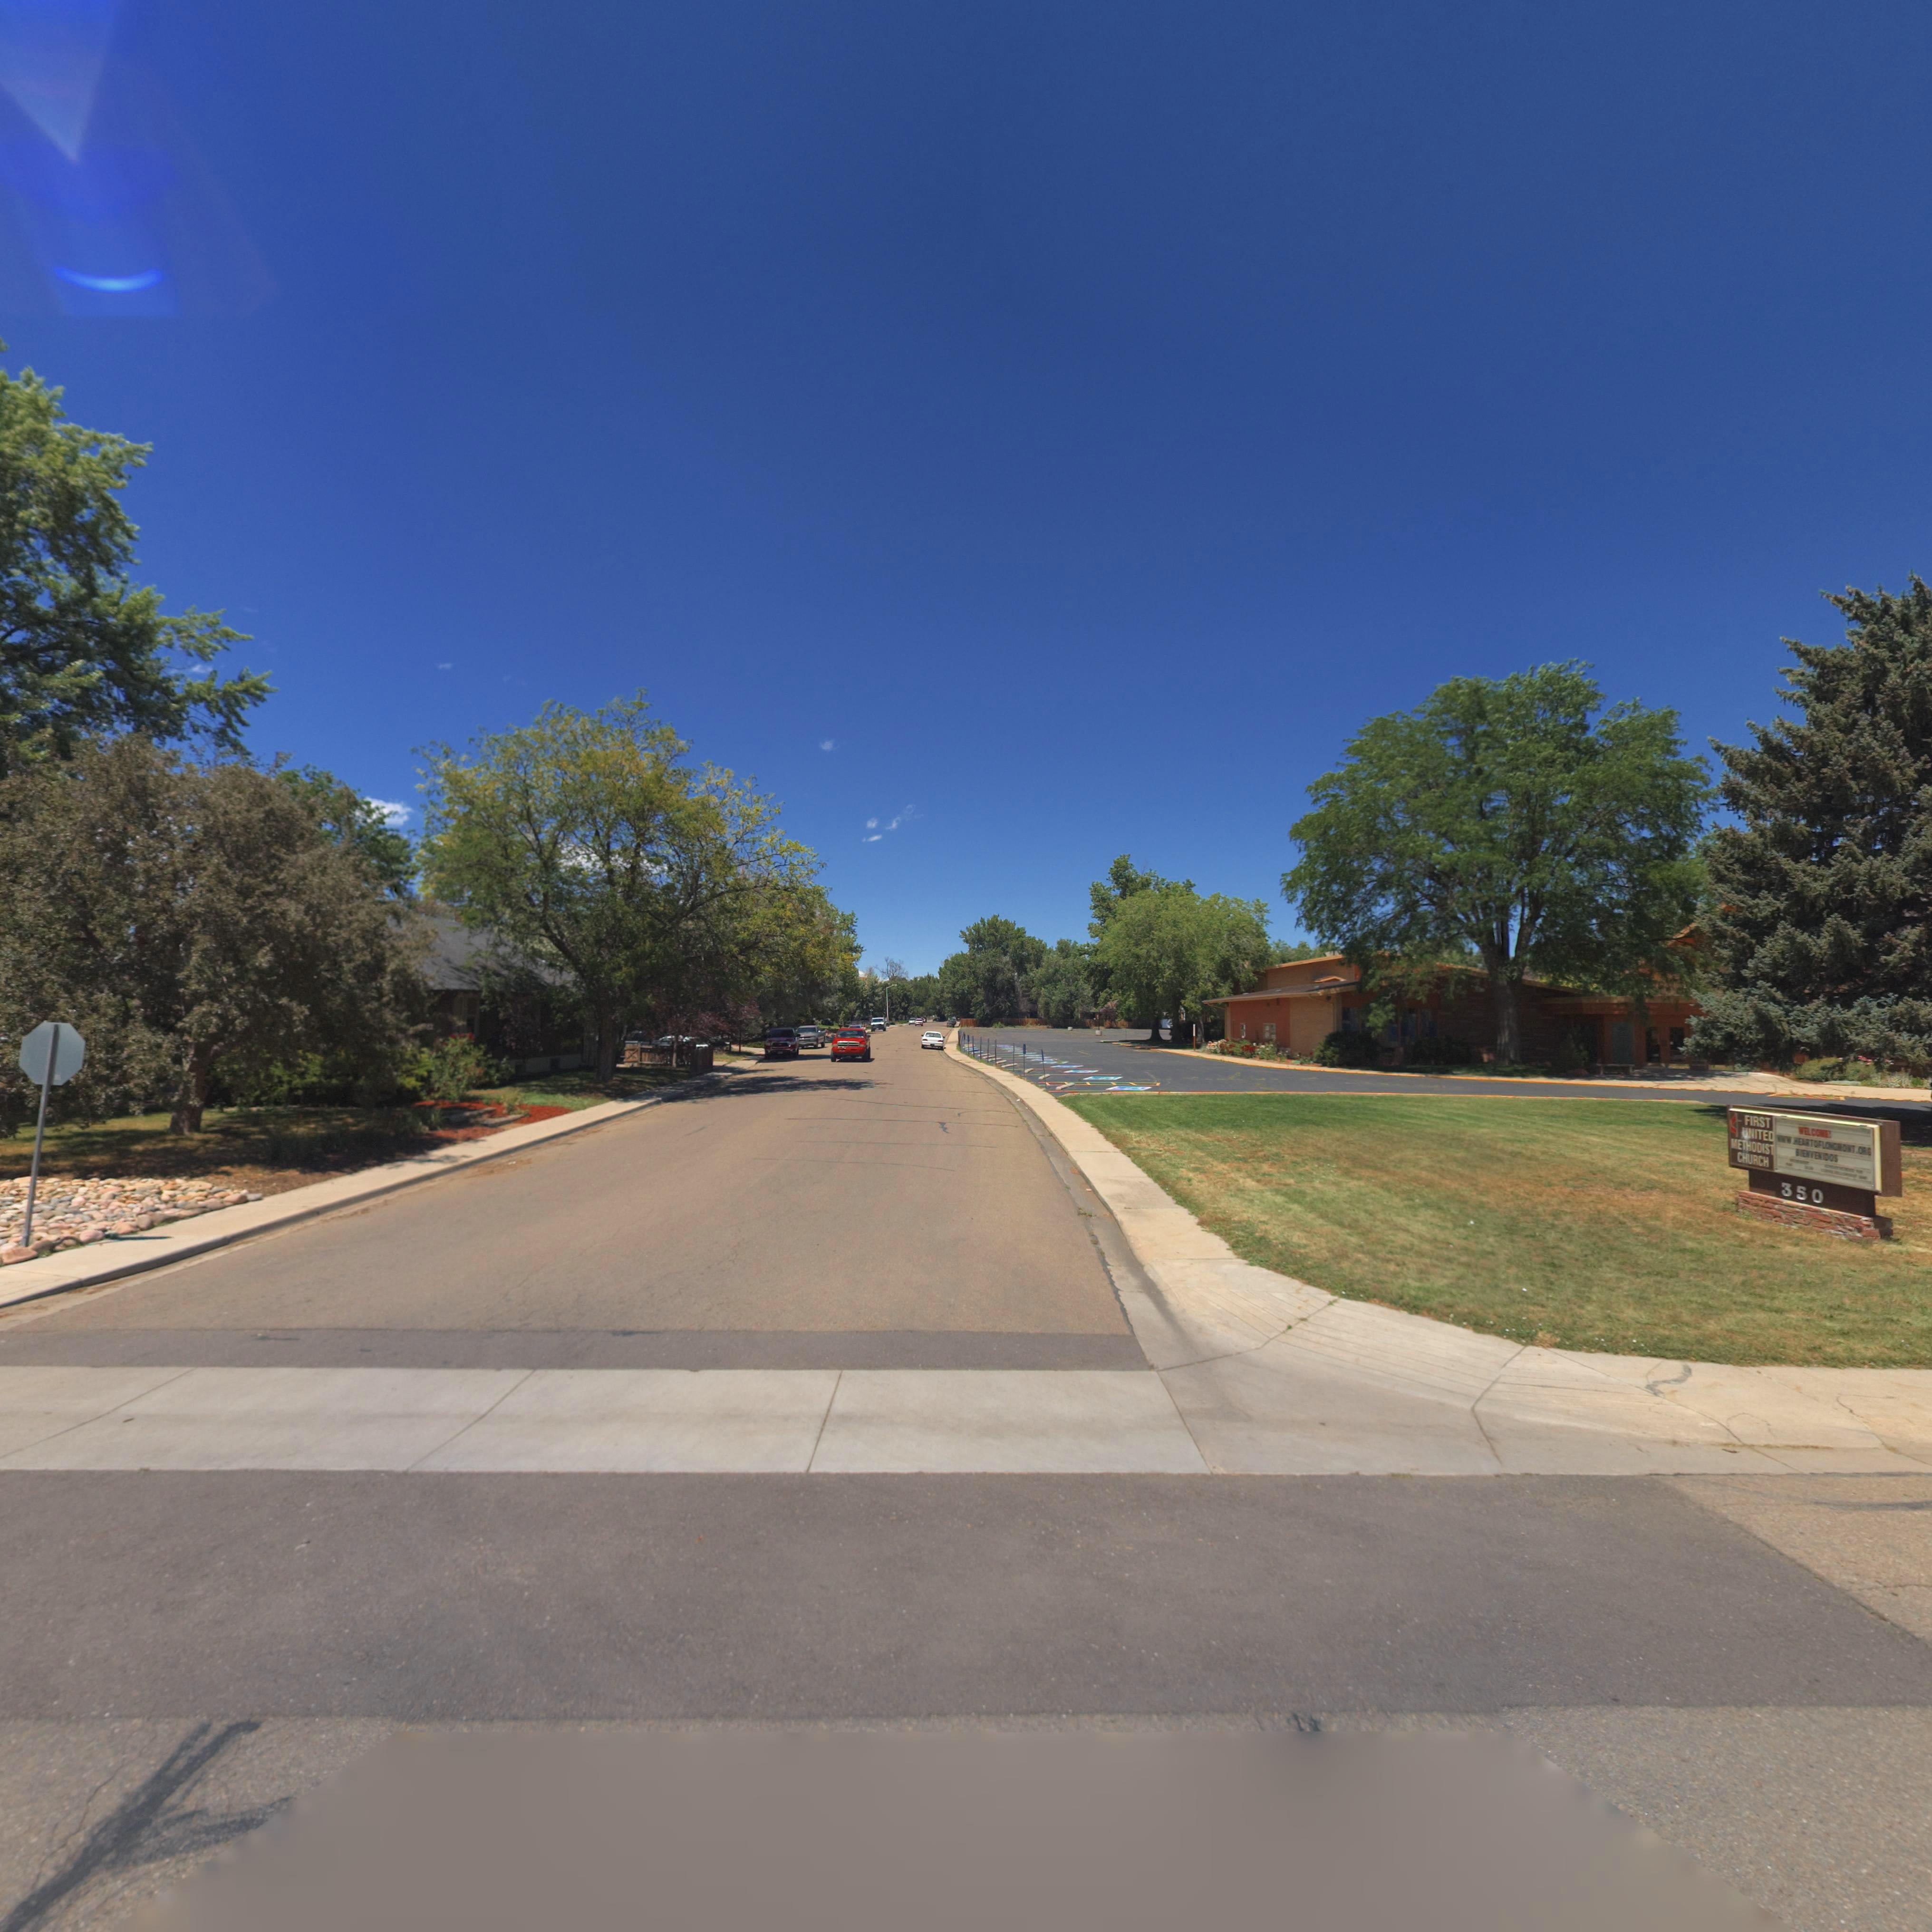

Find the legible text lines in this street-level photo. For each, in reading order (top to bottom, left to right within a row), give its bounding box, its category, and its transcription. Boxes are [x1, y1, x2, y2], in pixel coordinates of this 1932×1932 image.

[1745, 1114, 1770, 1128] BusinessName: FIRST
[1742, 1127, 1773, 1142] BusinessName: UNITED
[1730, 1138, 1773, 1155] BusinessName: METHODIST
[1738, 1151, 1768, 1167] BusinessName: CHURCH
[1780, 1182, 1825, 1204] StreetNumber: 350